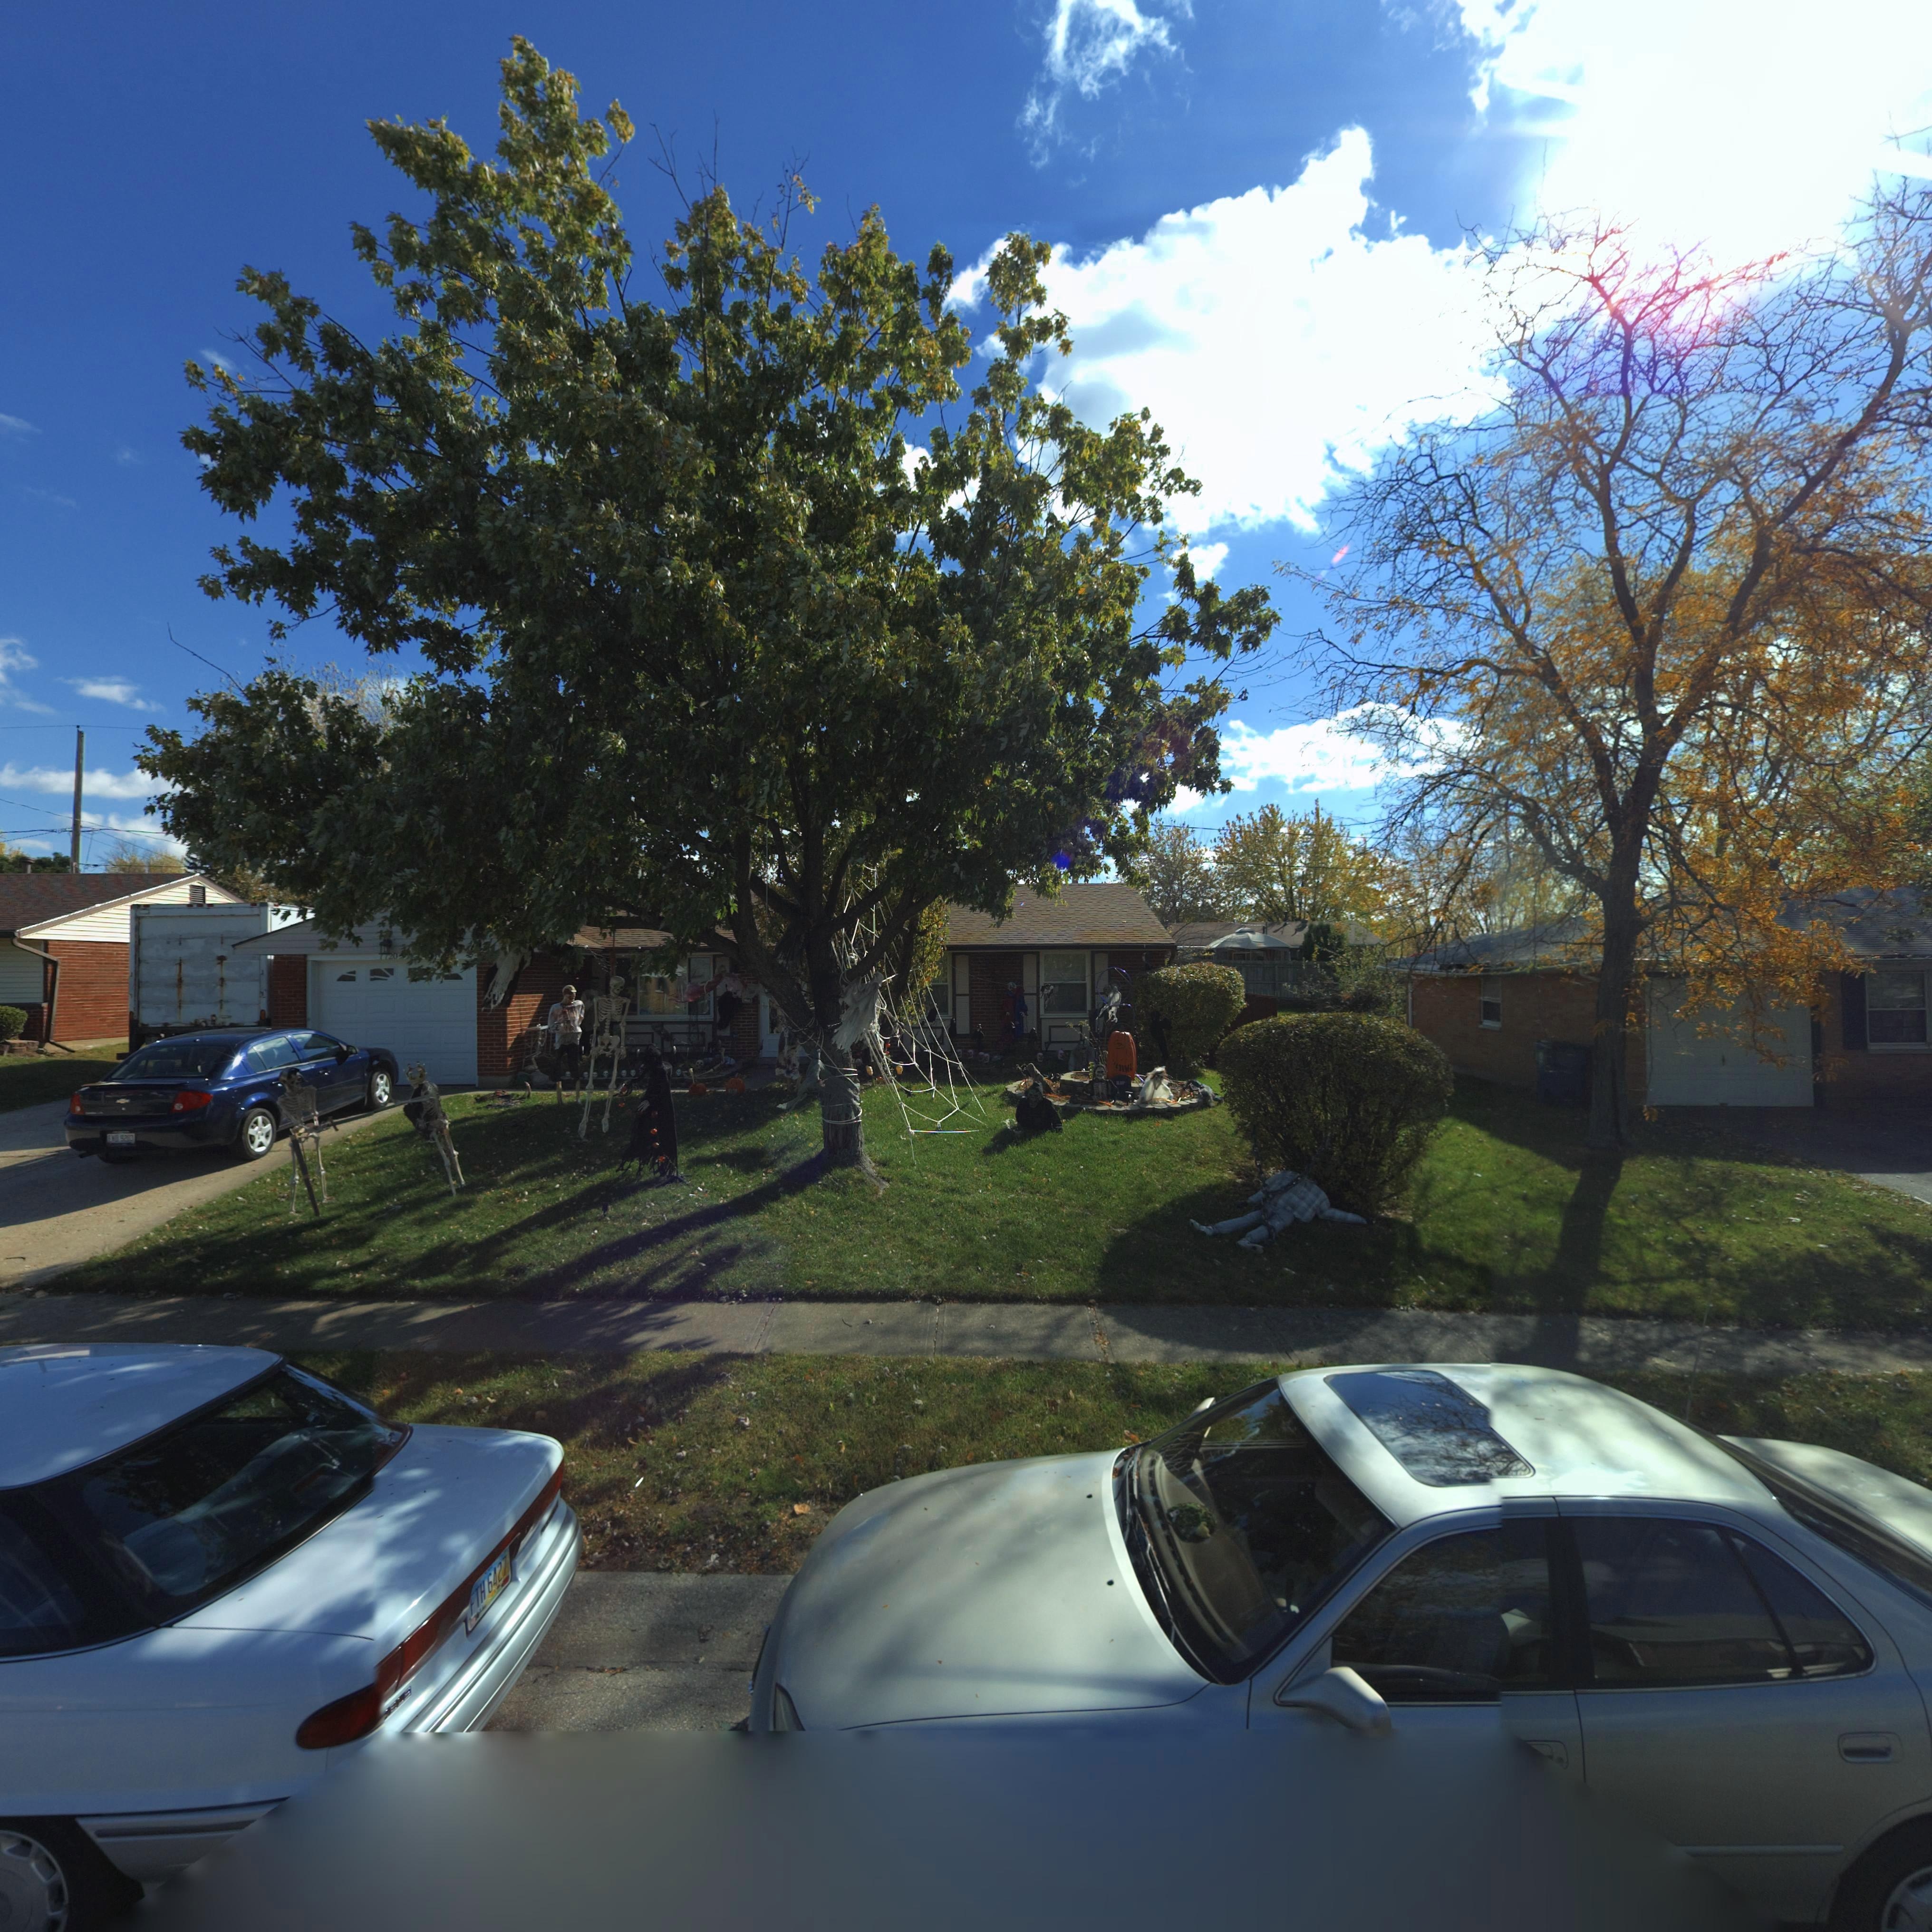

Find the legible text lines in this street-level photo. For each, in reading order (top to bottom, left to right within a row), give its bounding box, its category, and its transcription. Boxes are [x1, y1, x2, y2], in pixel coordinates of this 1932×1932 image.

[378, 952, 398, 960] StreetNumber: 7720